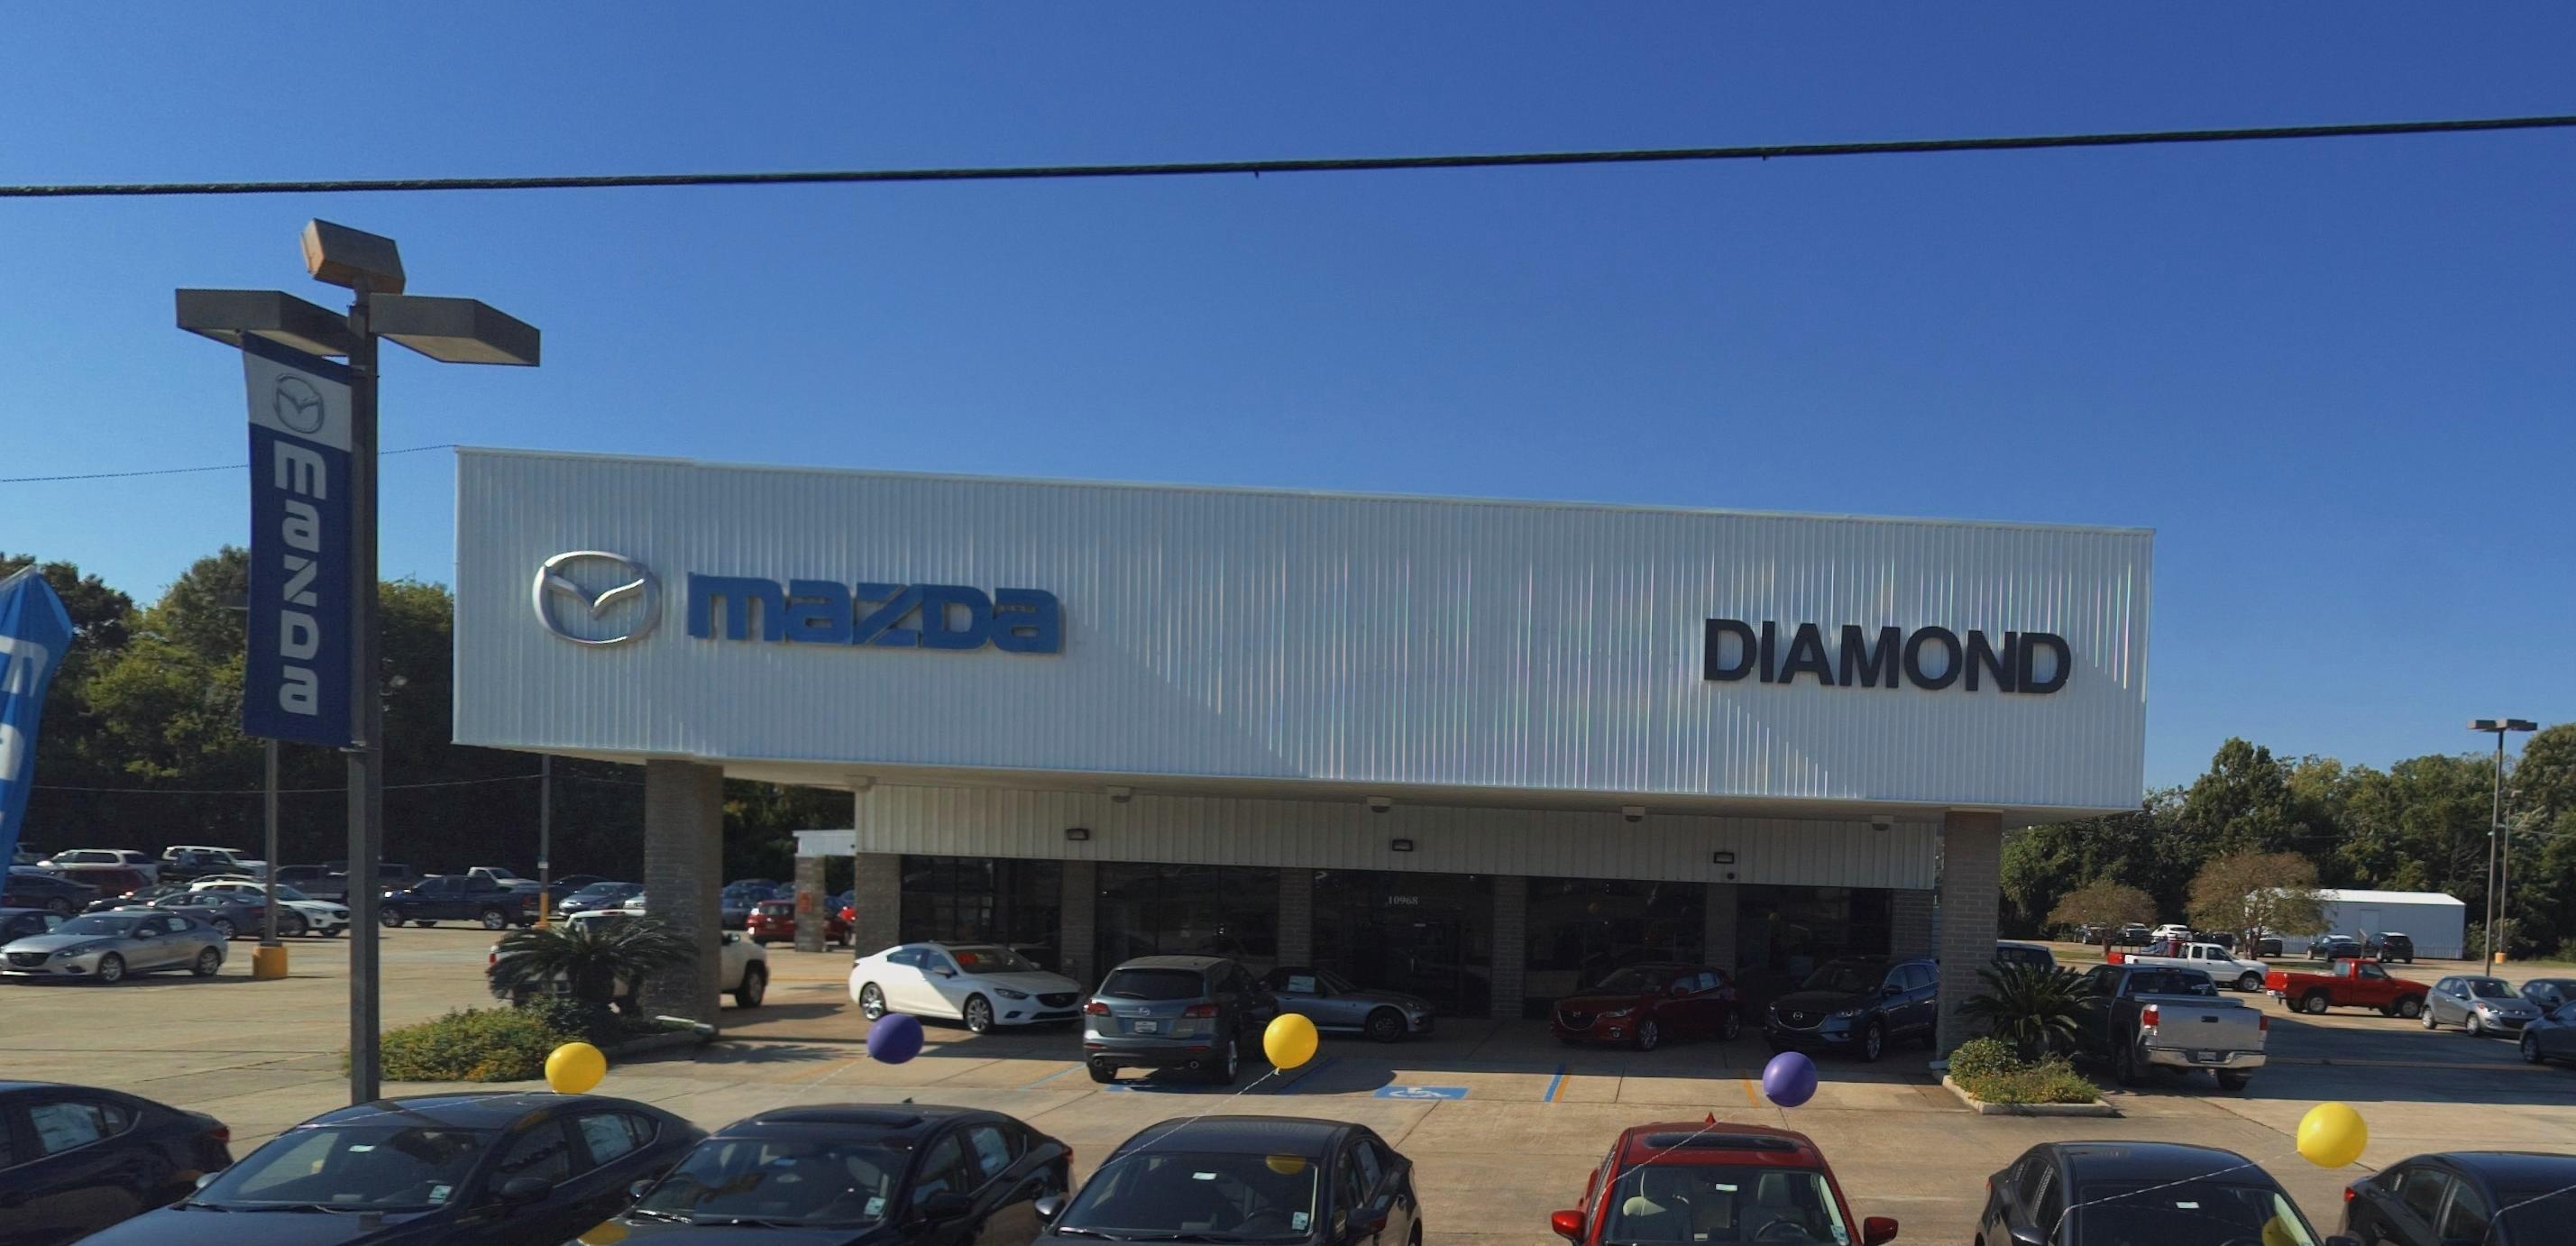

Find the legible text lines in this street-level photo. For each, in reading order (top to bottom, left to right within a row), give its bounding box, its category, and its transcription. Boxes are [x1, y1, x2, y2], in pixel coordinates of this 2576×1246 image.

[268, 431, 333, 725] BusinessName: mazDa
[684, 570, 1061, 656] BusinessName: mazDa
[1699, 614, 2074, 697] None: DIAMOND
[1387, 893, 1421, 908] StreetNumber: 10968